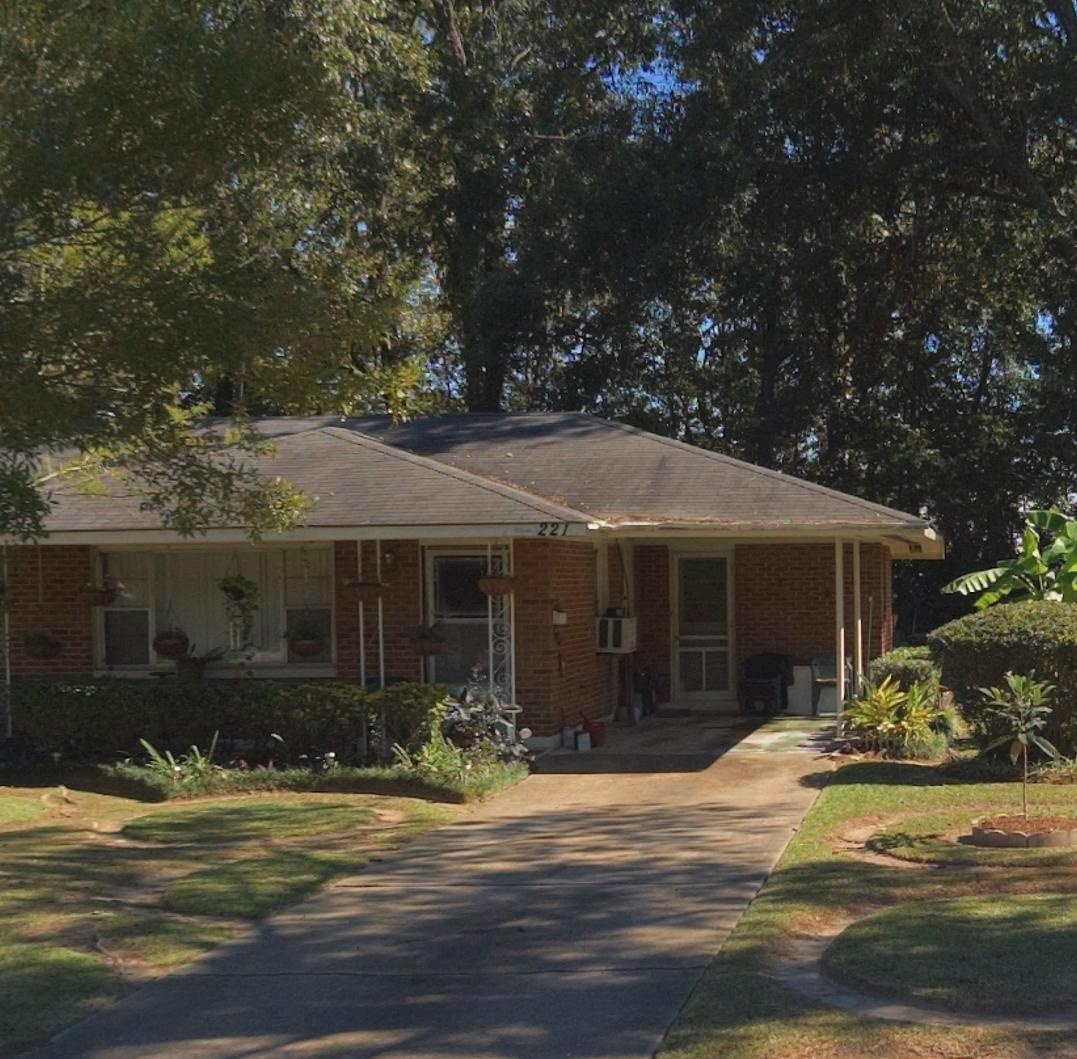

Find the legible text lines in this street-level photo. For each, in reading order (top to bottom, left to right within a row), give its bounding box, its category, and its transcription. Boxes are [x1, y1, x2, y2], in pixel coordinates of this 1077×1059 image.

[535, 521, 572, 538] StreetNumber: 221